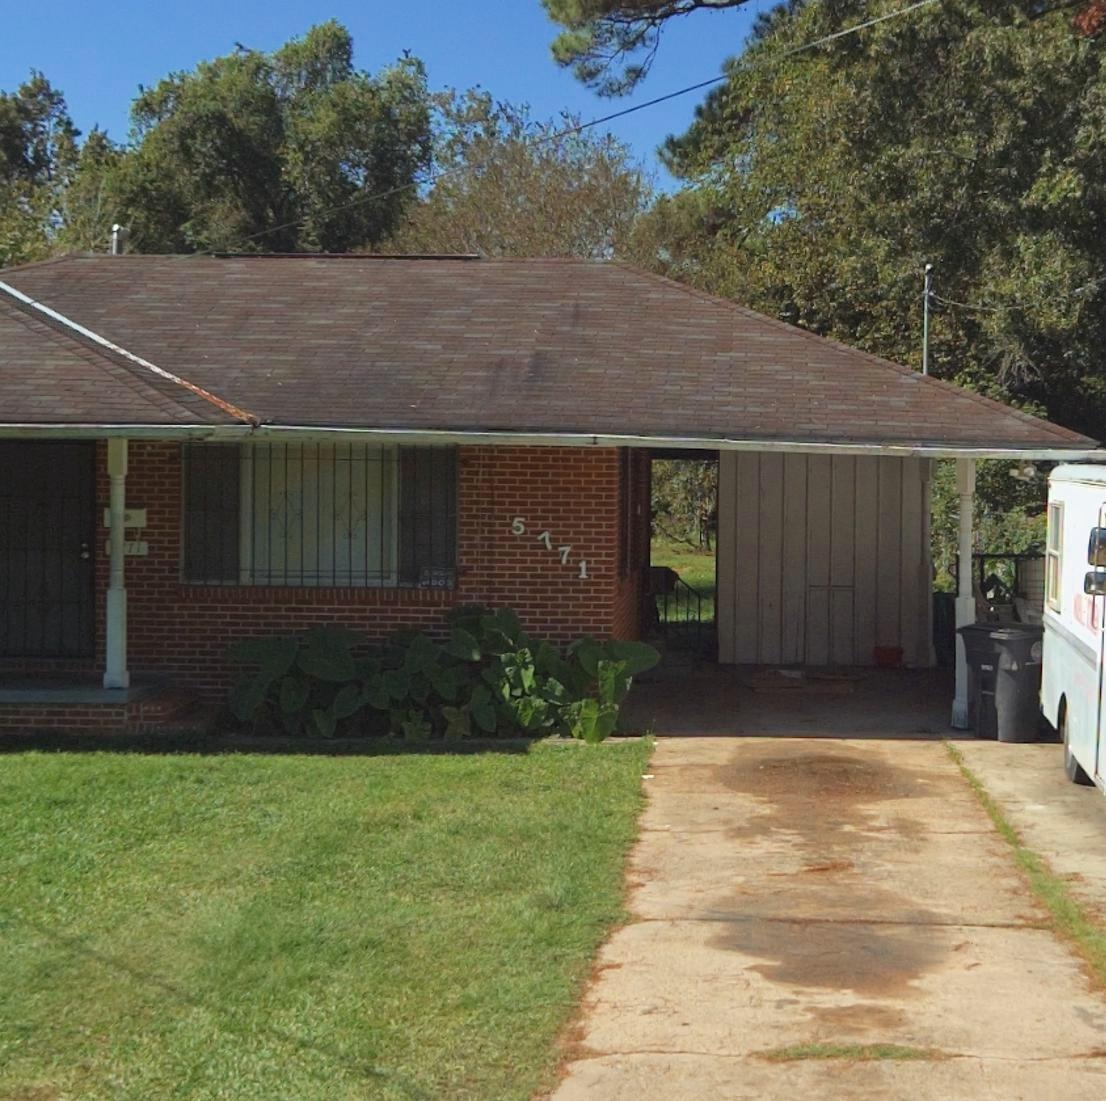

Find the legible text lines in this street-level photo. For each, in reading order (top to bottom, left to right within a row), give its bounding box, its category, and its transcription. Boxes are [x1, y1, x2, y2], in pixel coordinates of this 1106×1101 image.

[109, 541, 142, 554] StreetNumber: **71
[510, 515, 590, 580] StreetNumber: 5771